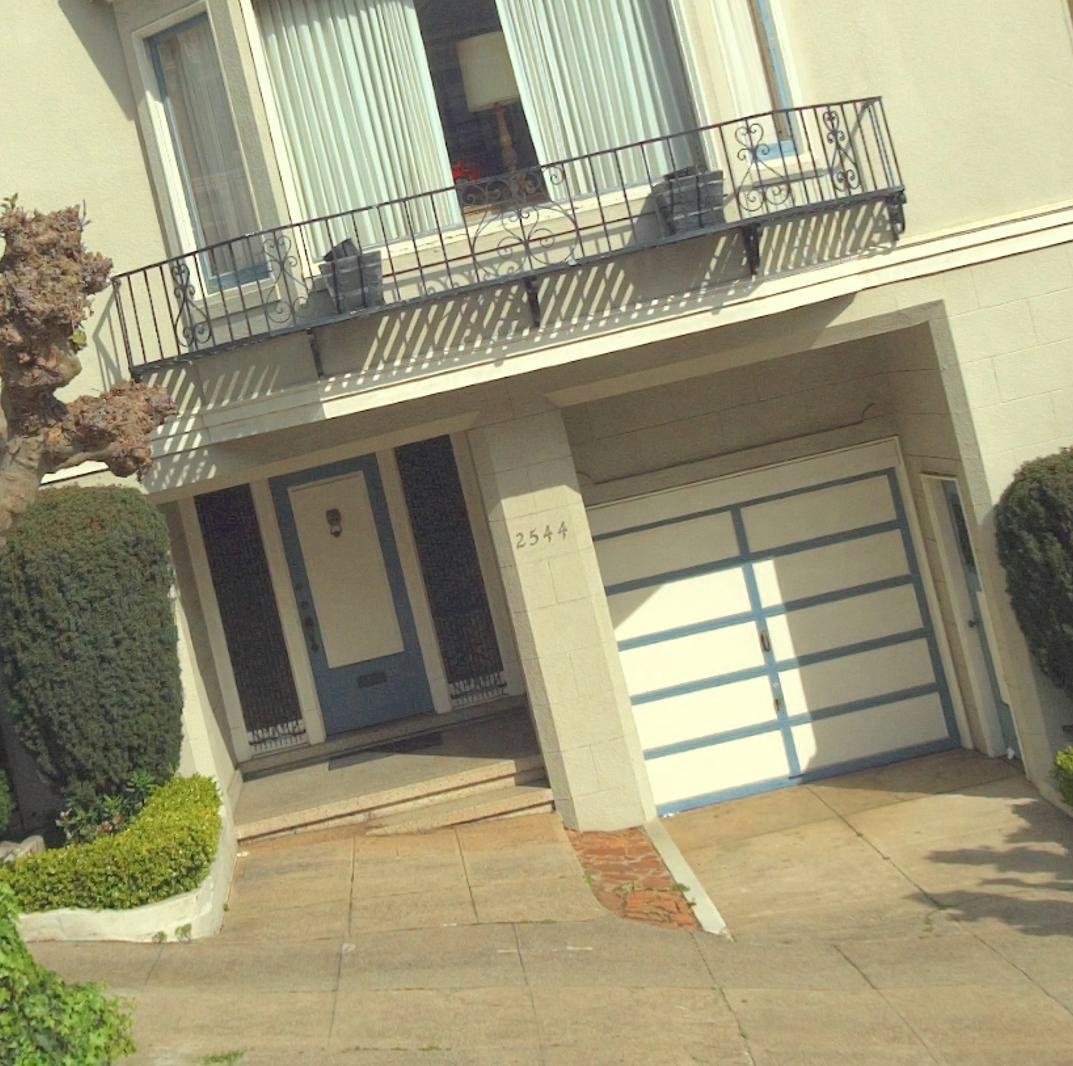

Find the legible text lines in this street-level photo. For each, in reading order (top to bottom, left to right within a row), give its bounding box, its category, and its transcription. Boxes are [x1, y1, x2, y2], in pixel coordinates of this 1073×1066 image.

[514, 518, 571, 552] StreetNumber: 2544